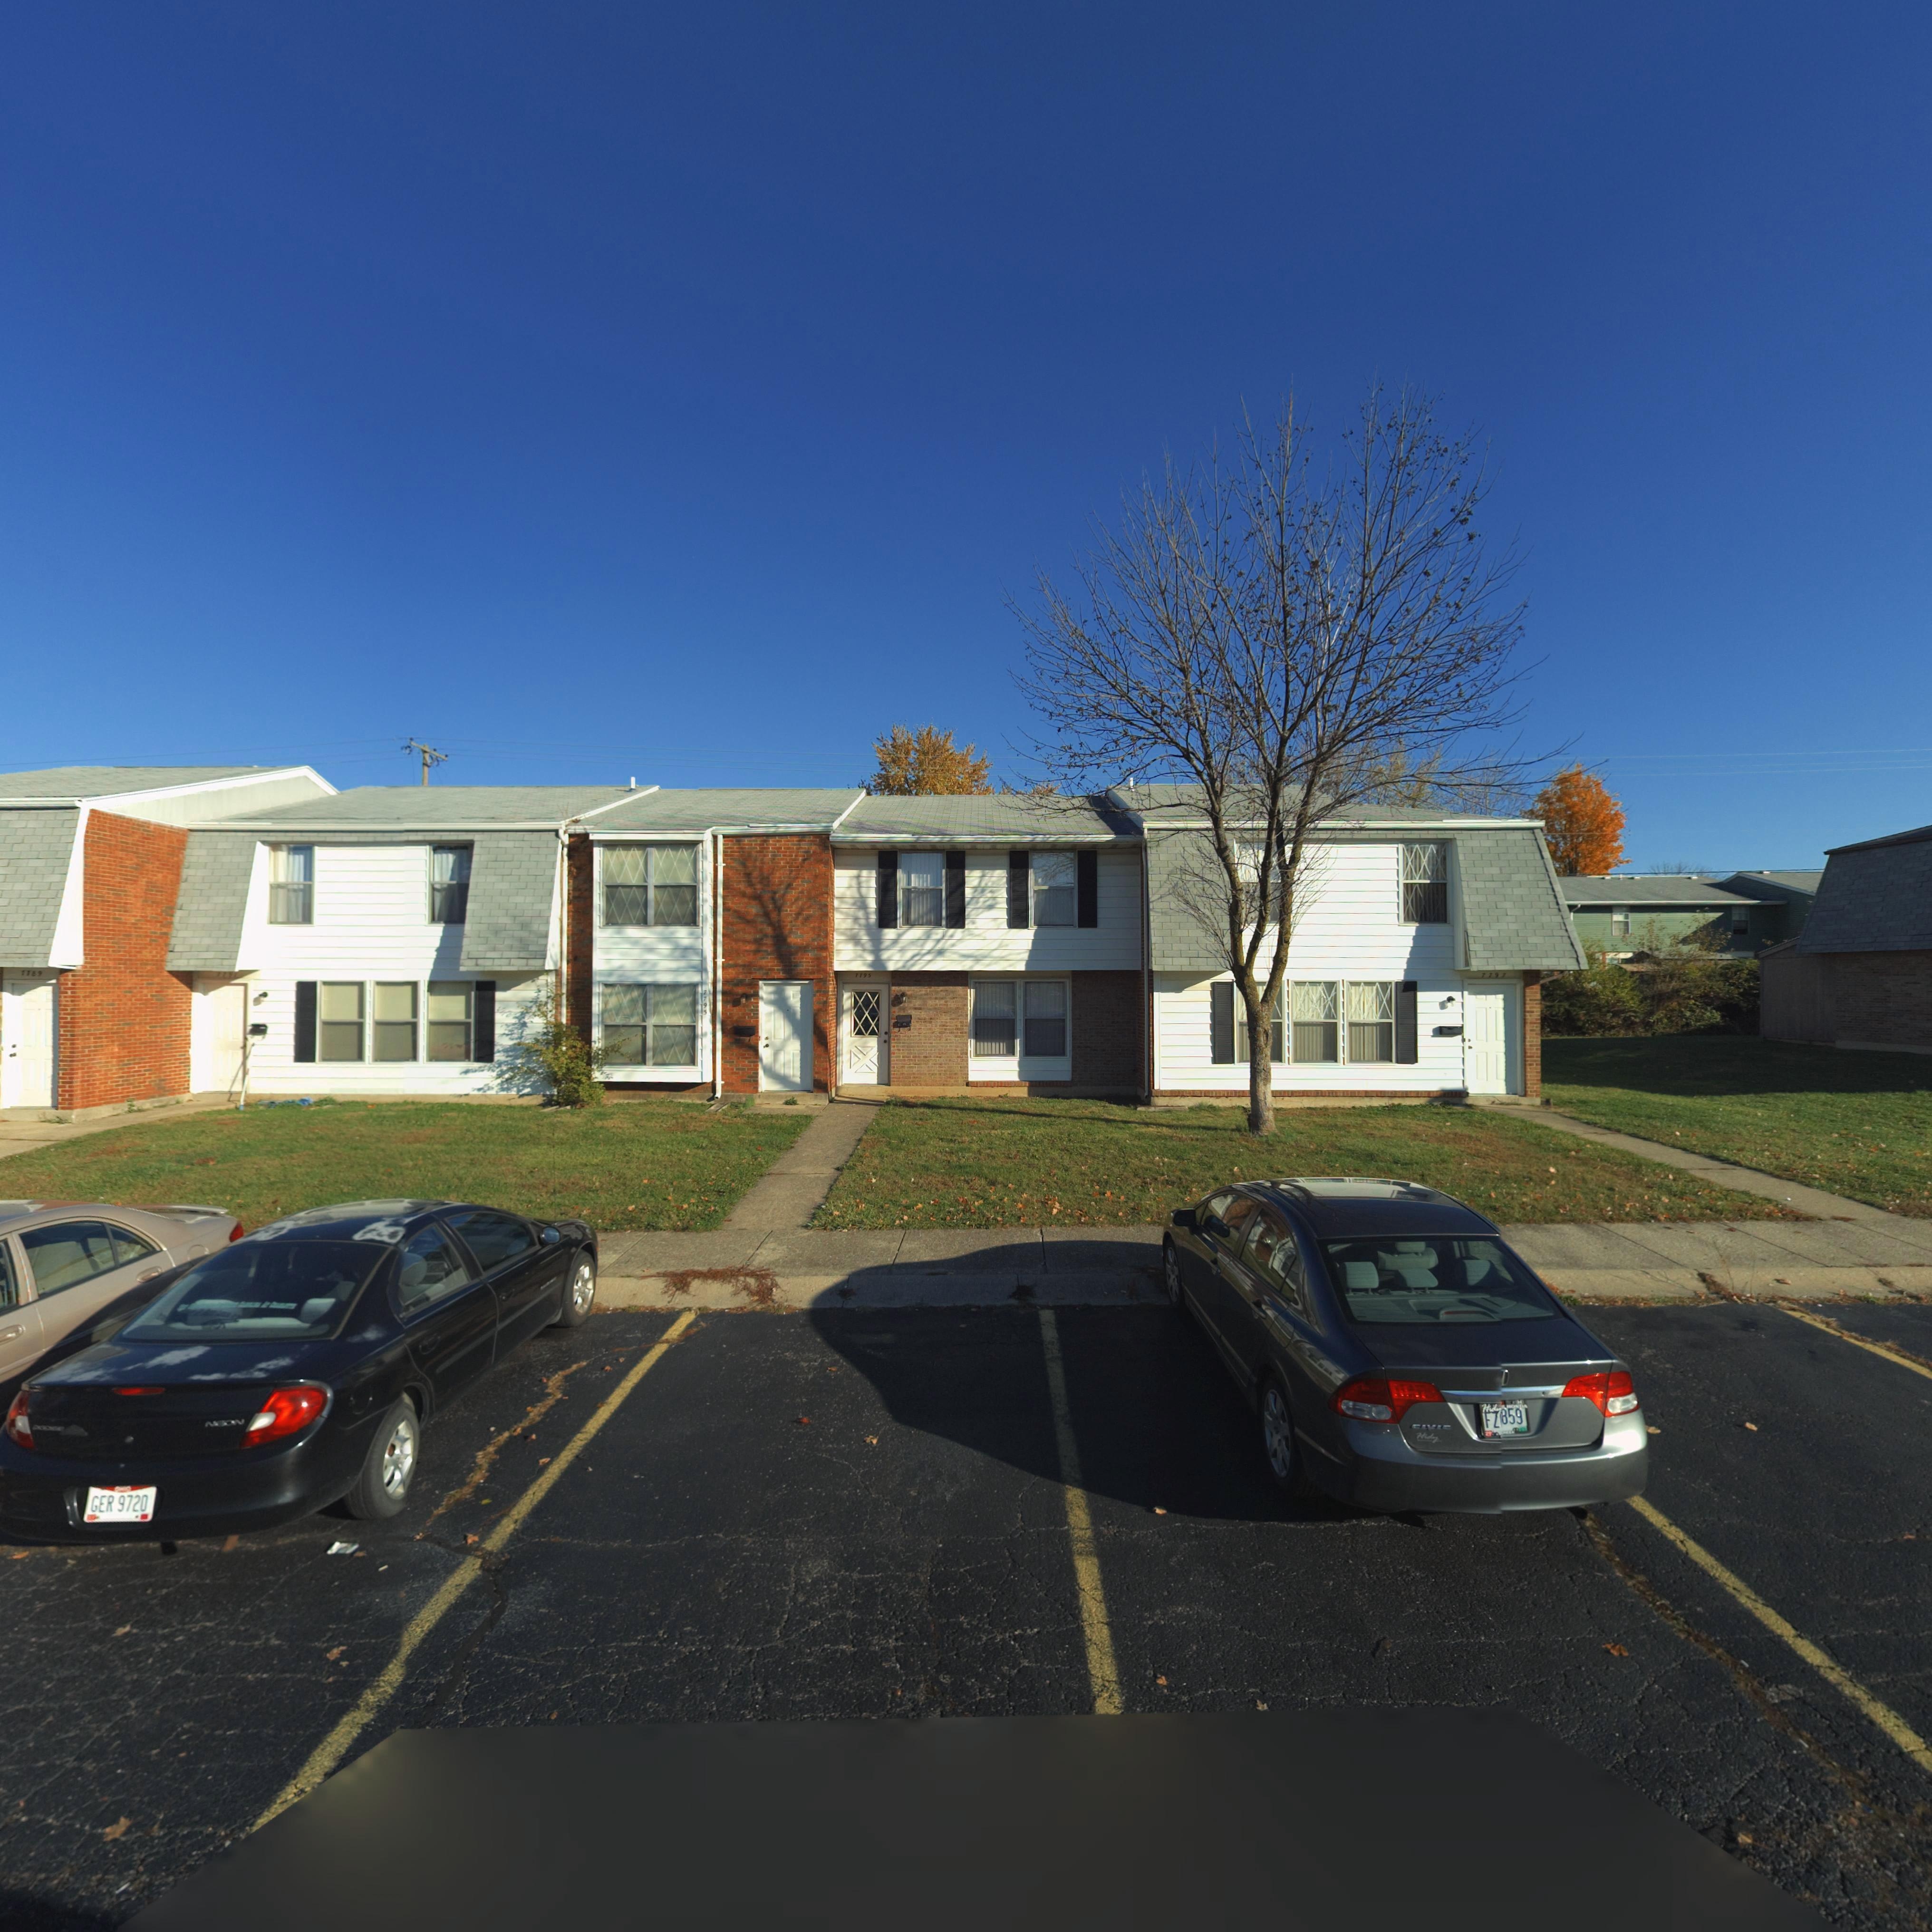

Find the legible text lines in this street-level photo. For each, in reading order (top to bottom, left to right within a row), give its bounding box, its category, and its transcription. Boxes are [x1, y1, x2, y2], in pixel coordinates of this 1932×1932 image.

[19, 969, 43, 977] StreetNumber: 7789
[216, 971, 239, 979] StreetNumber: 7791
[855, 973, 872, 978] StreetNumber: 7795
[1480, 972, 1508, 979] StreetNumber: 7797
[702, 989, 707, 1015] StreetNumber: 7793